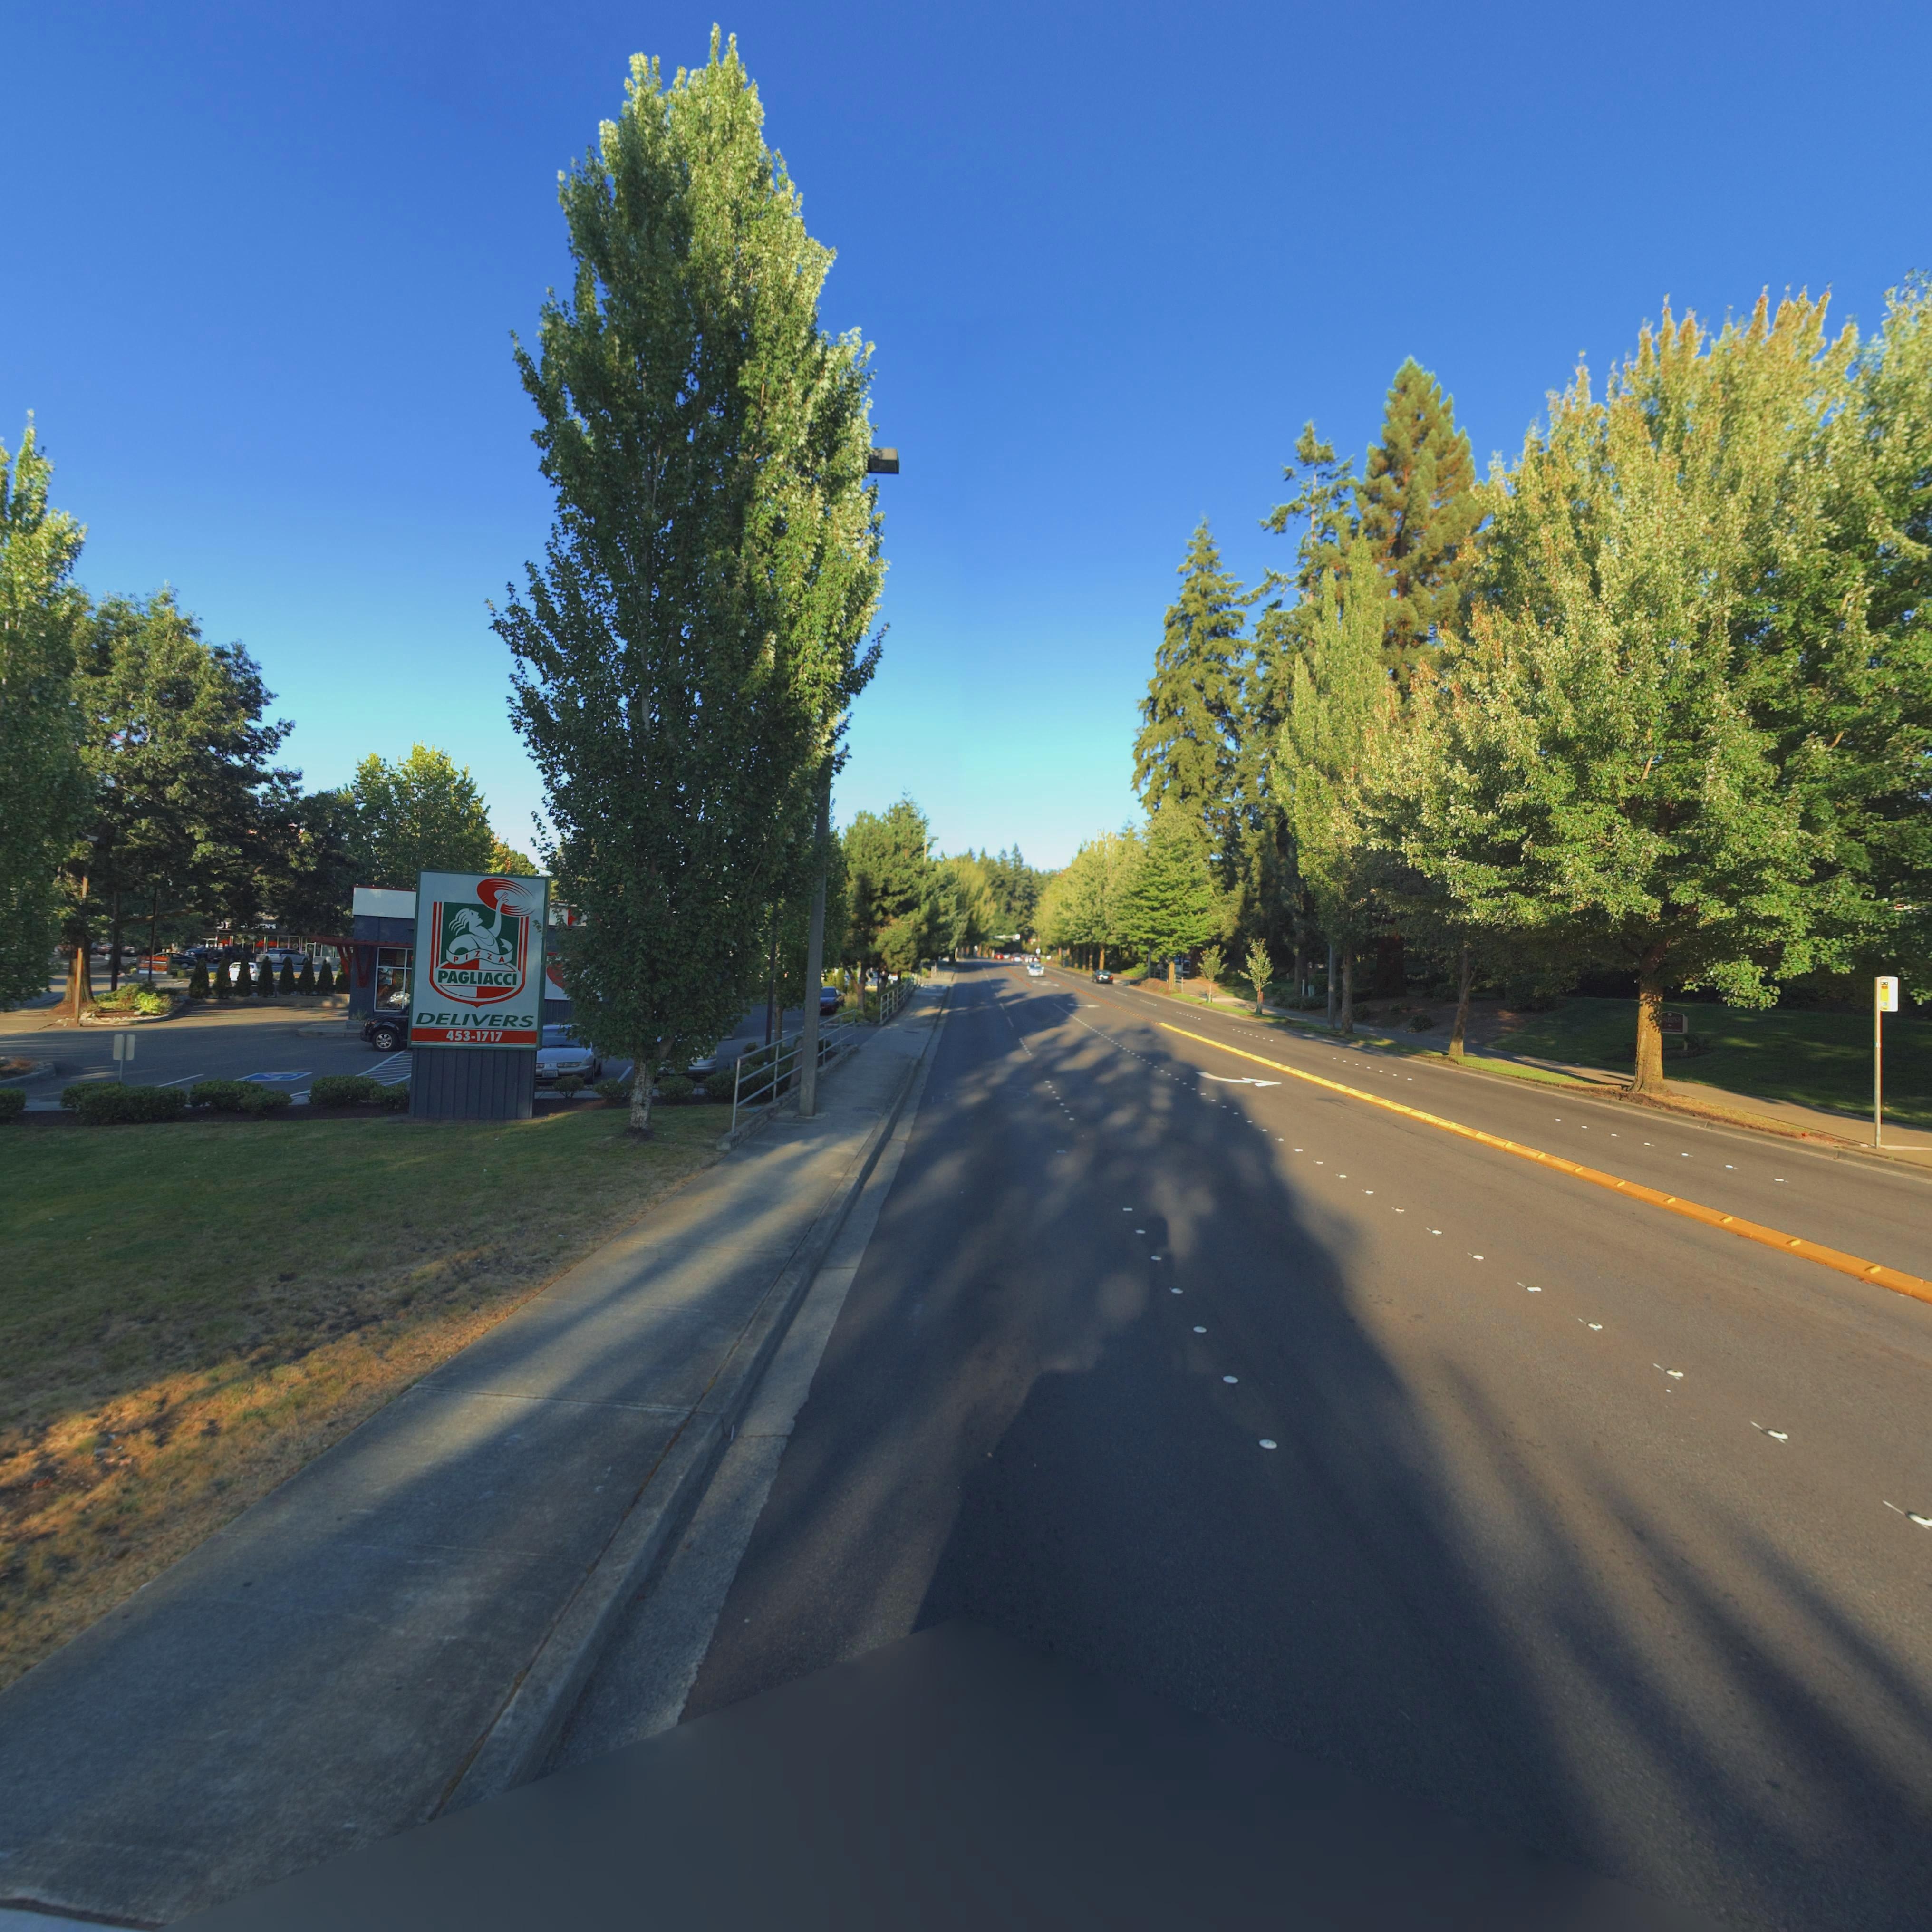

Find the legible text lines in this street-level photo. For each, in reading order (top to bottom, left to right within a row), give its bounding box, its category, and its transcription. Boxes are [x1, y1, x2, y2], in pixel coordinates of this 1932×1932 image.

[452, 949, 506, 965] BusinessName: PIZZA
[437, 969, 517, 986] BusinessName: PAGLIACCI